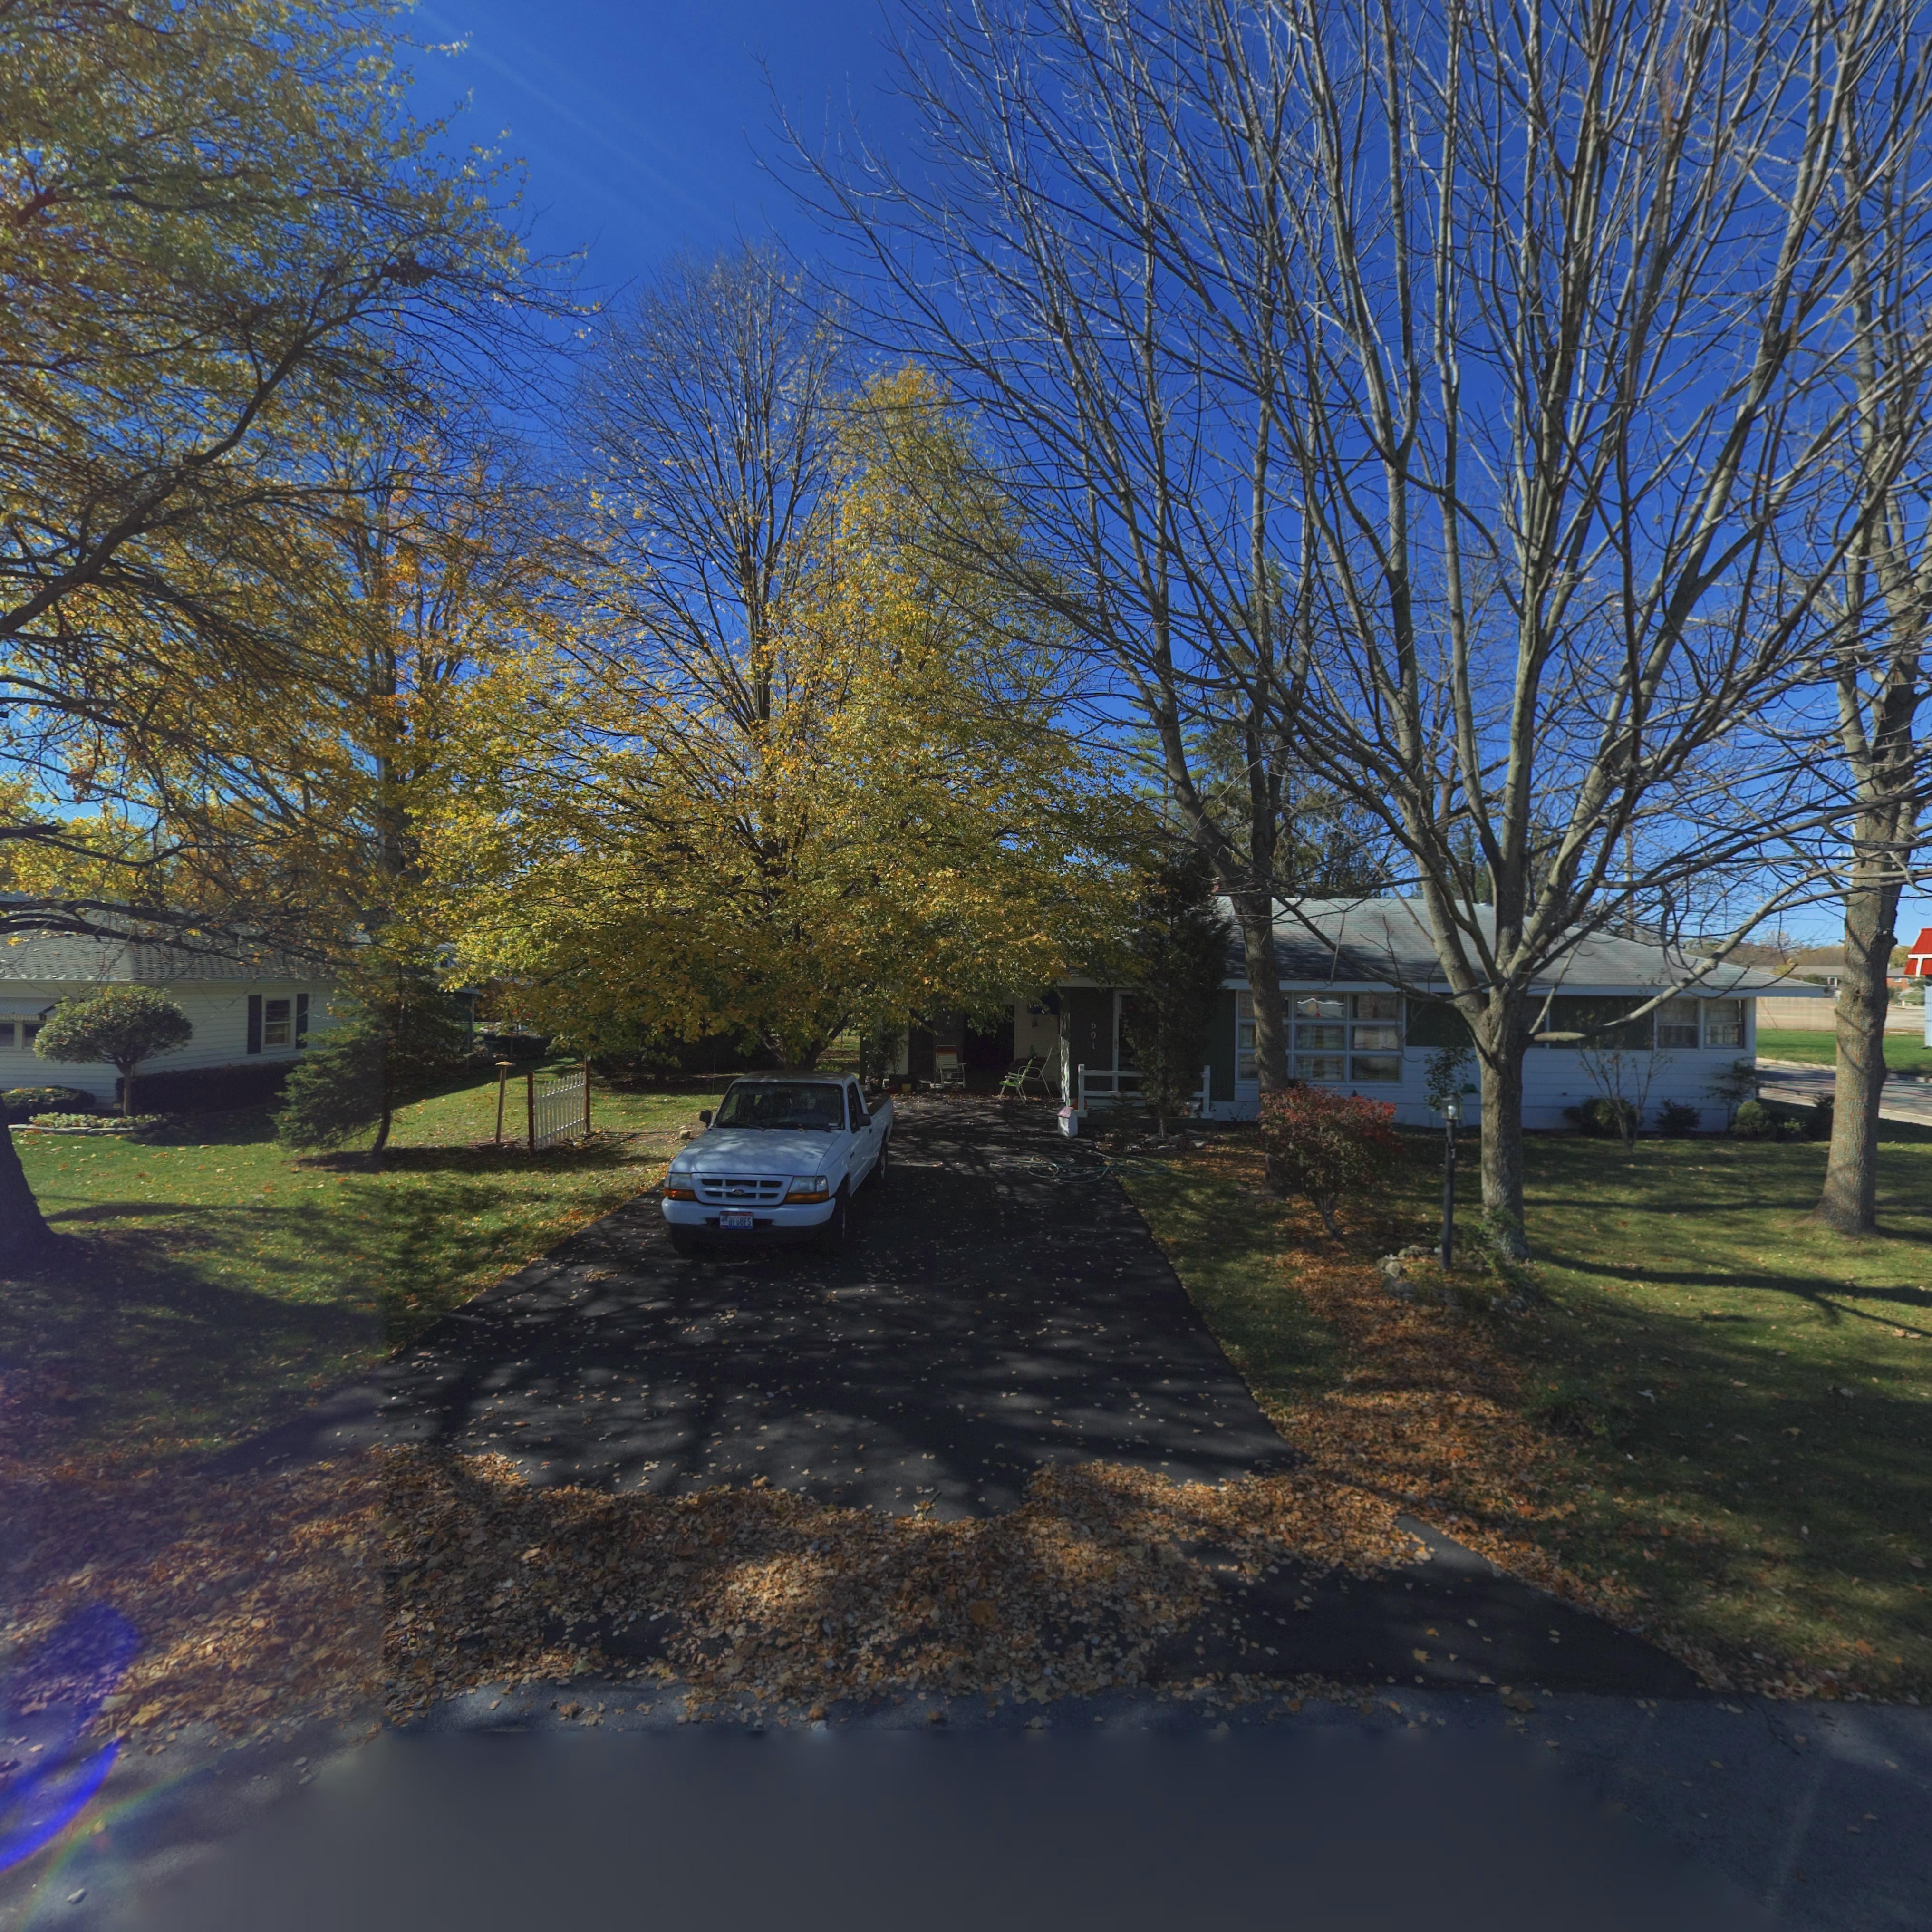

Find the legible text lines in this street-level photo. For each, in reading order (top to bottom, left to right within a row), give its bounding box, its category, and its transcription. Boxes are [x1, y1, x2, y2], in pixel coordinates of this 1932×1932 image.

[1091, 1021, 1096, 1050] StreetNumber: 601